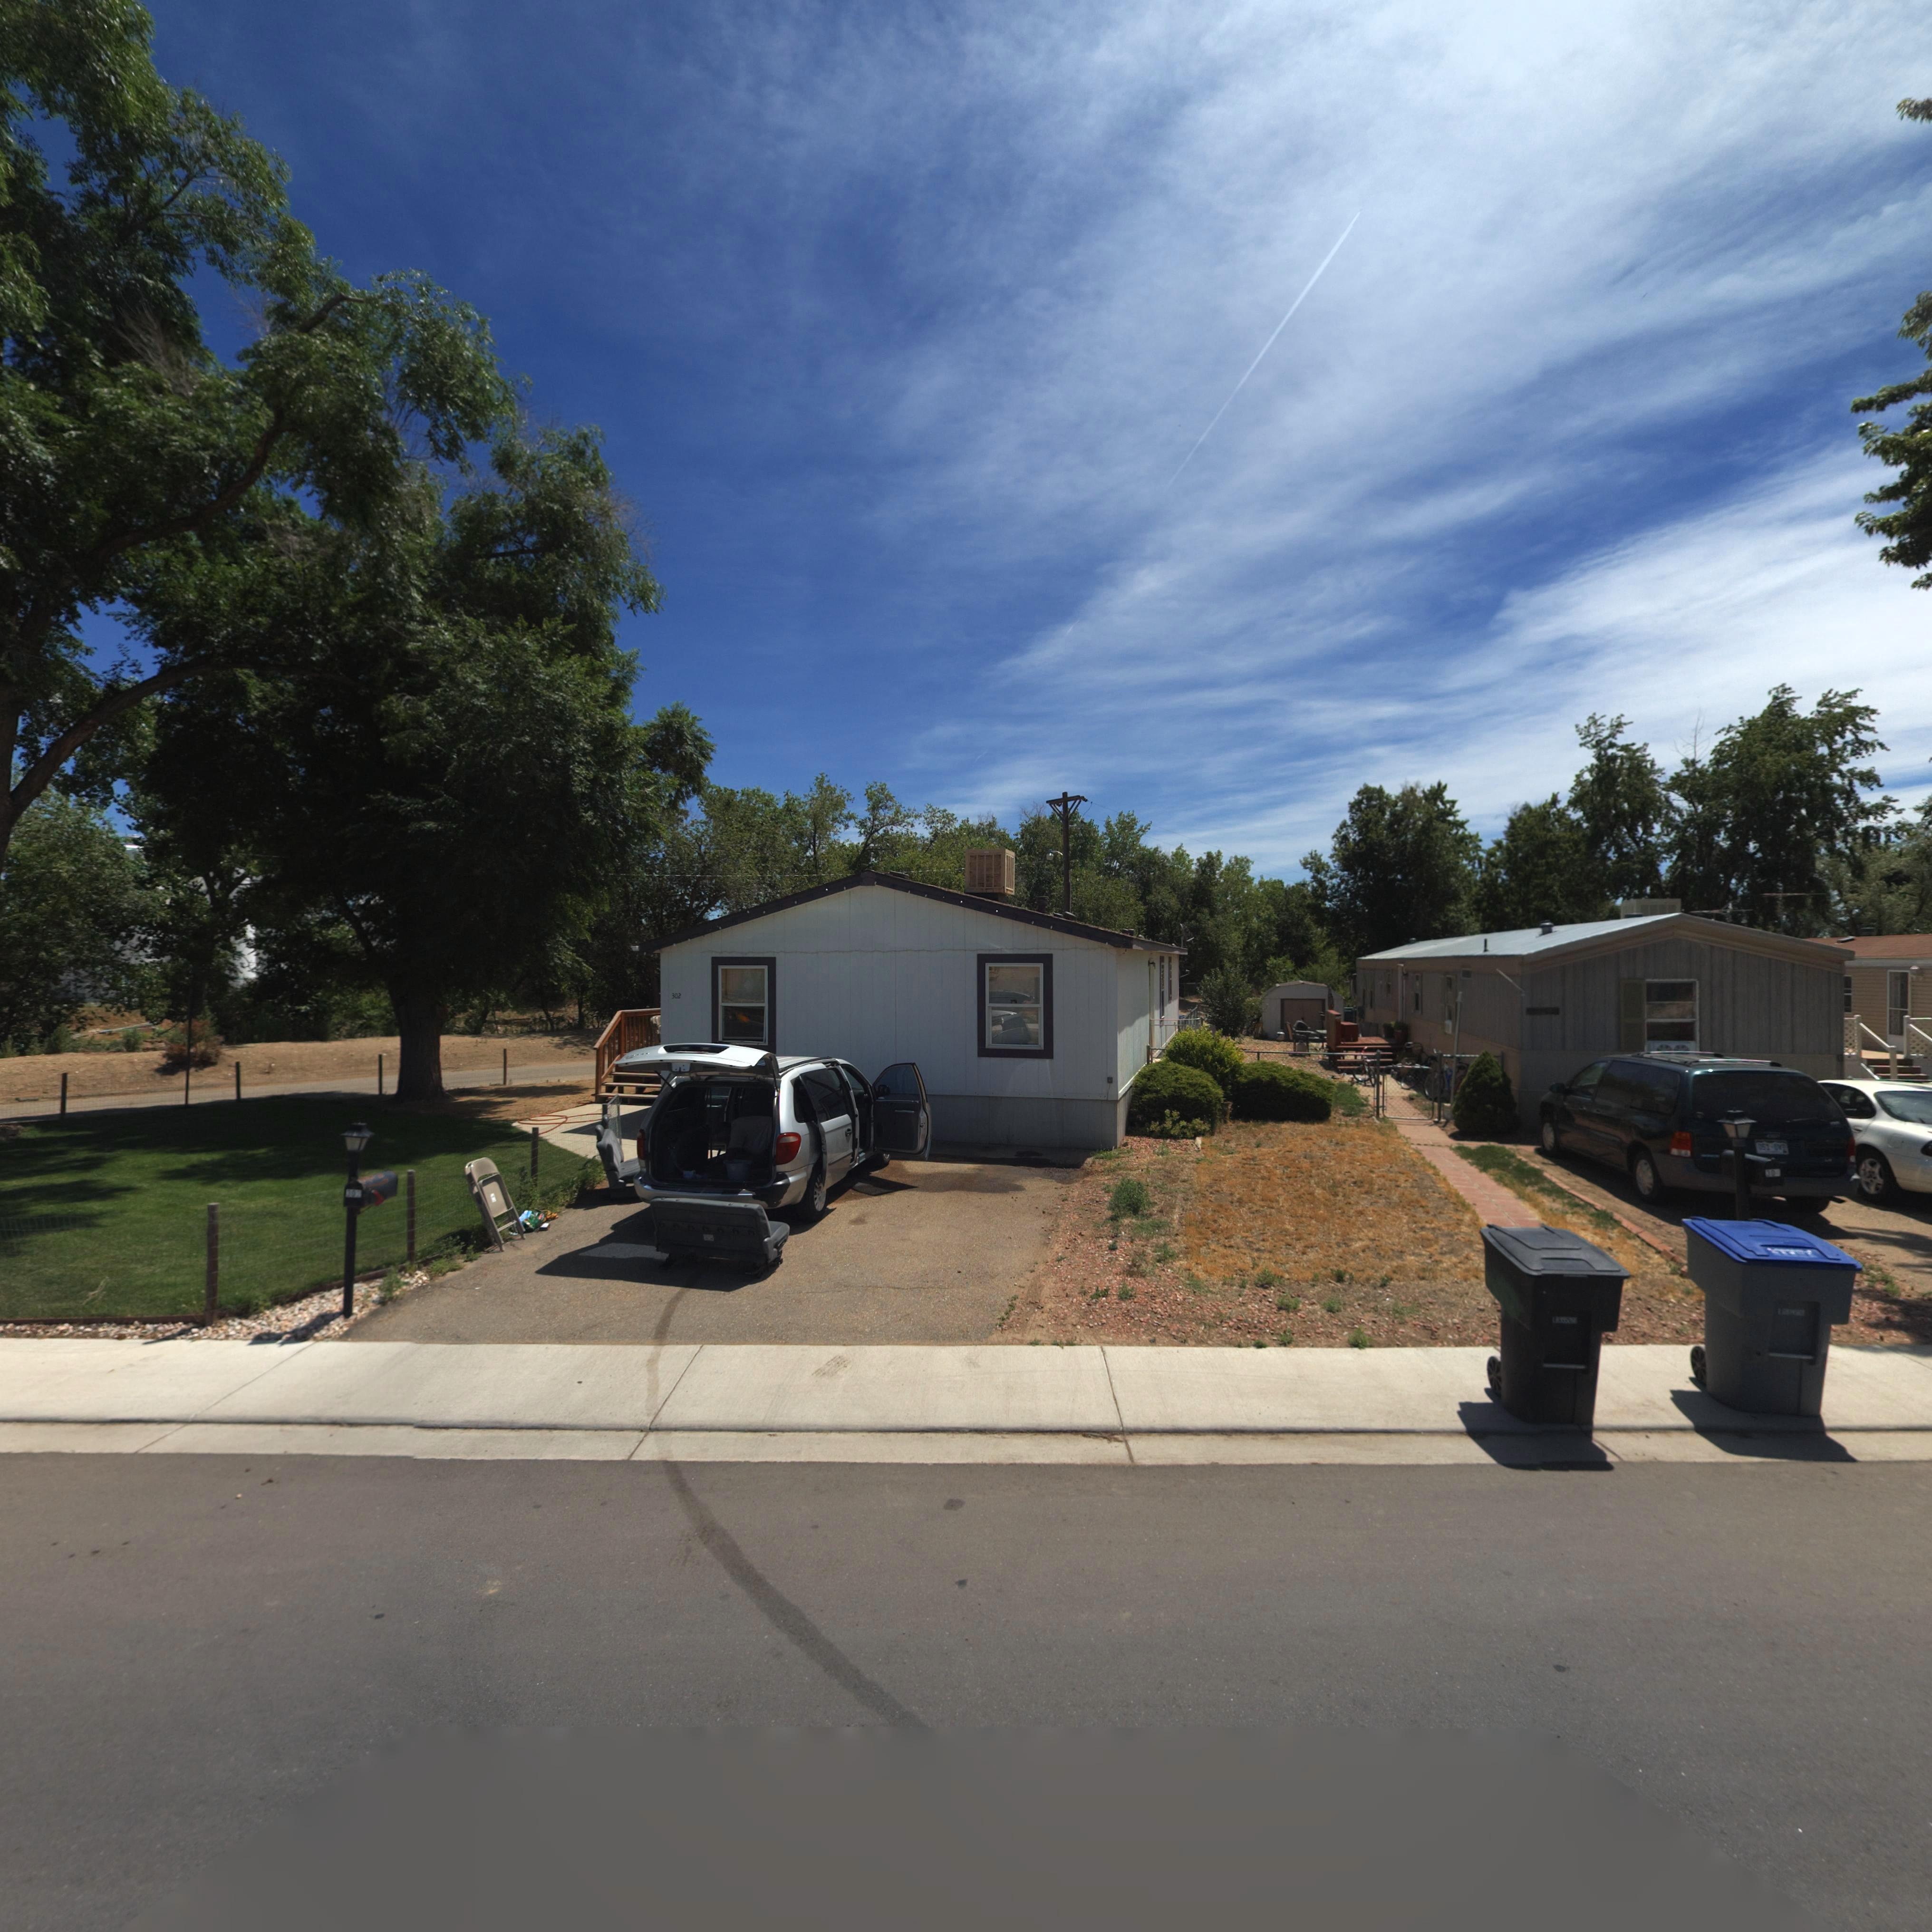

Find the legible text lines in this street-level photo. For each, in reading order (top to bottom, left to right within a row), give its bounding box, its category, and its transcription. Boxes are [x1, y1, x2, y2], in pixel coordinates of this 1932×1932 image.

[671, 993, 682, 999] StreetNumber: 302
[1765, 1169, 1780, 1177] StreetNumber: 30*
[346, 1188, 361, 1198] StreetNumber: 30*